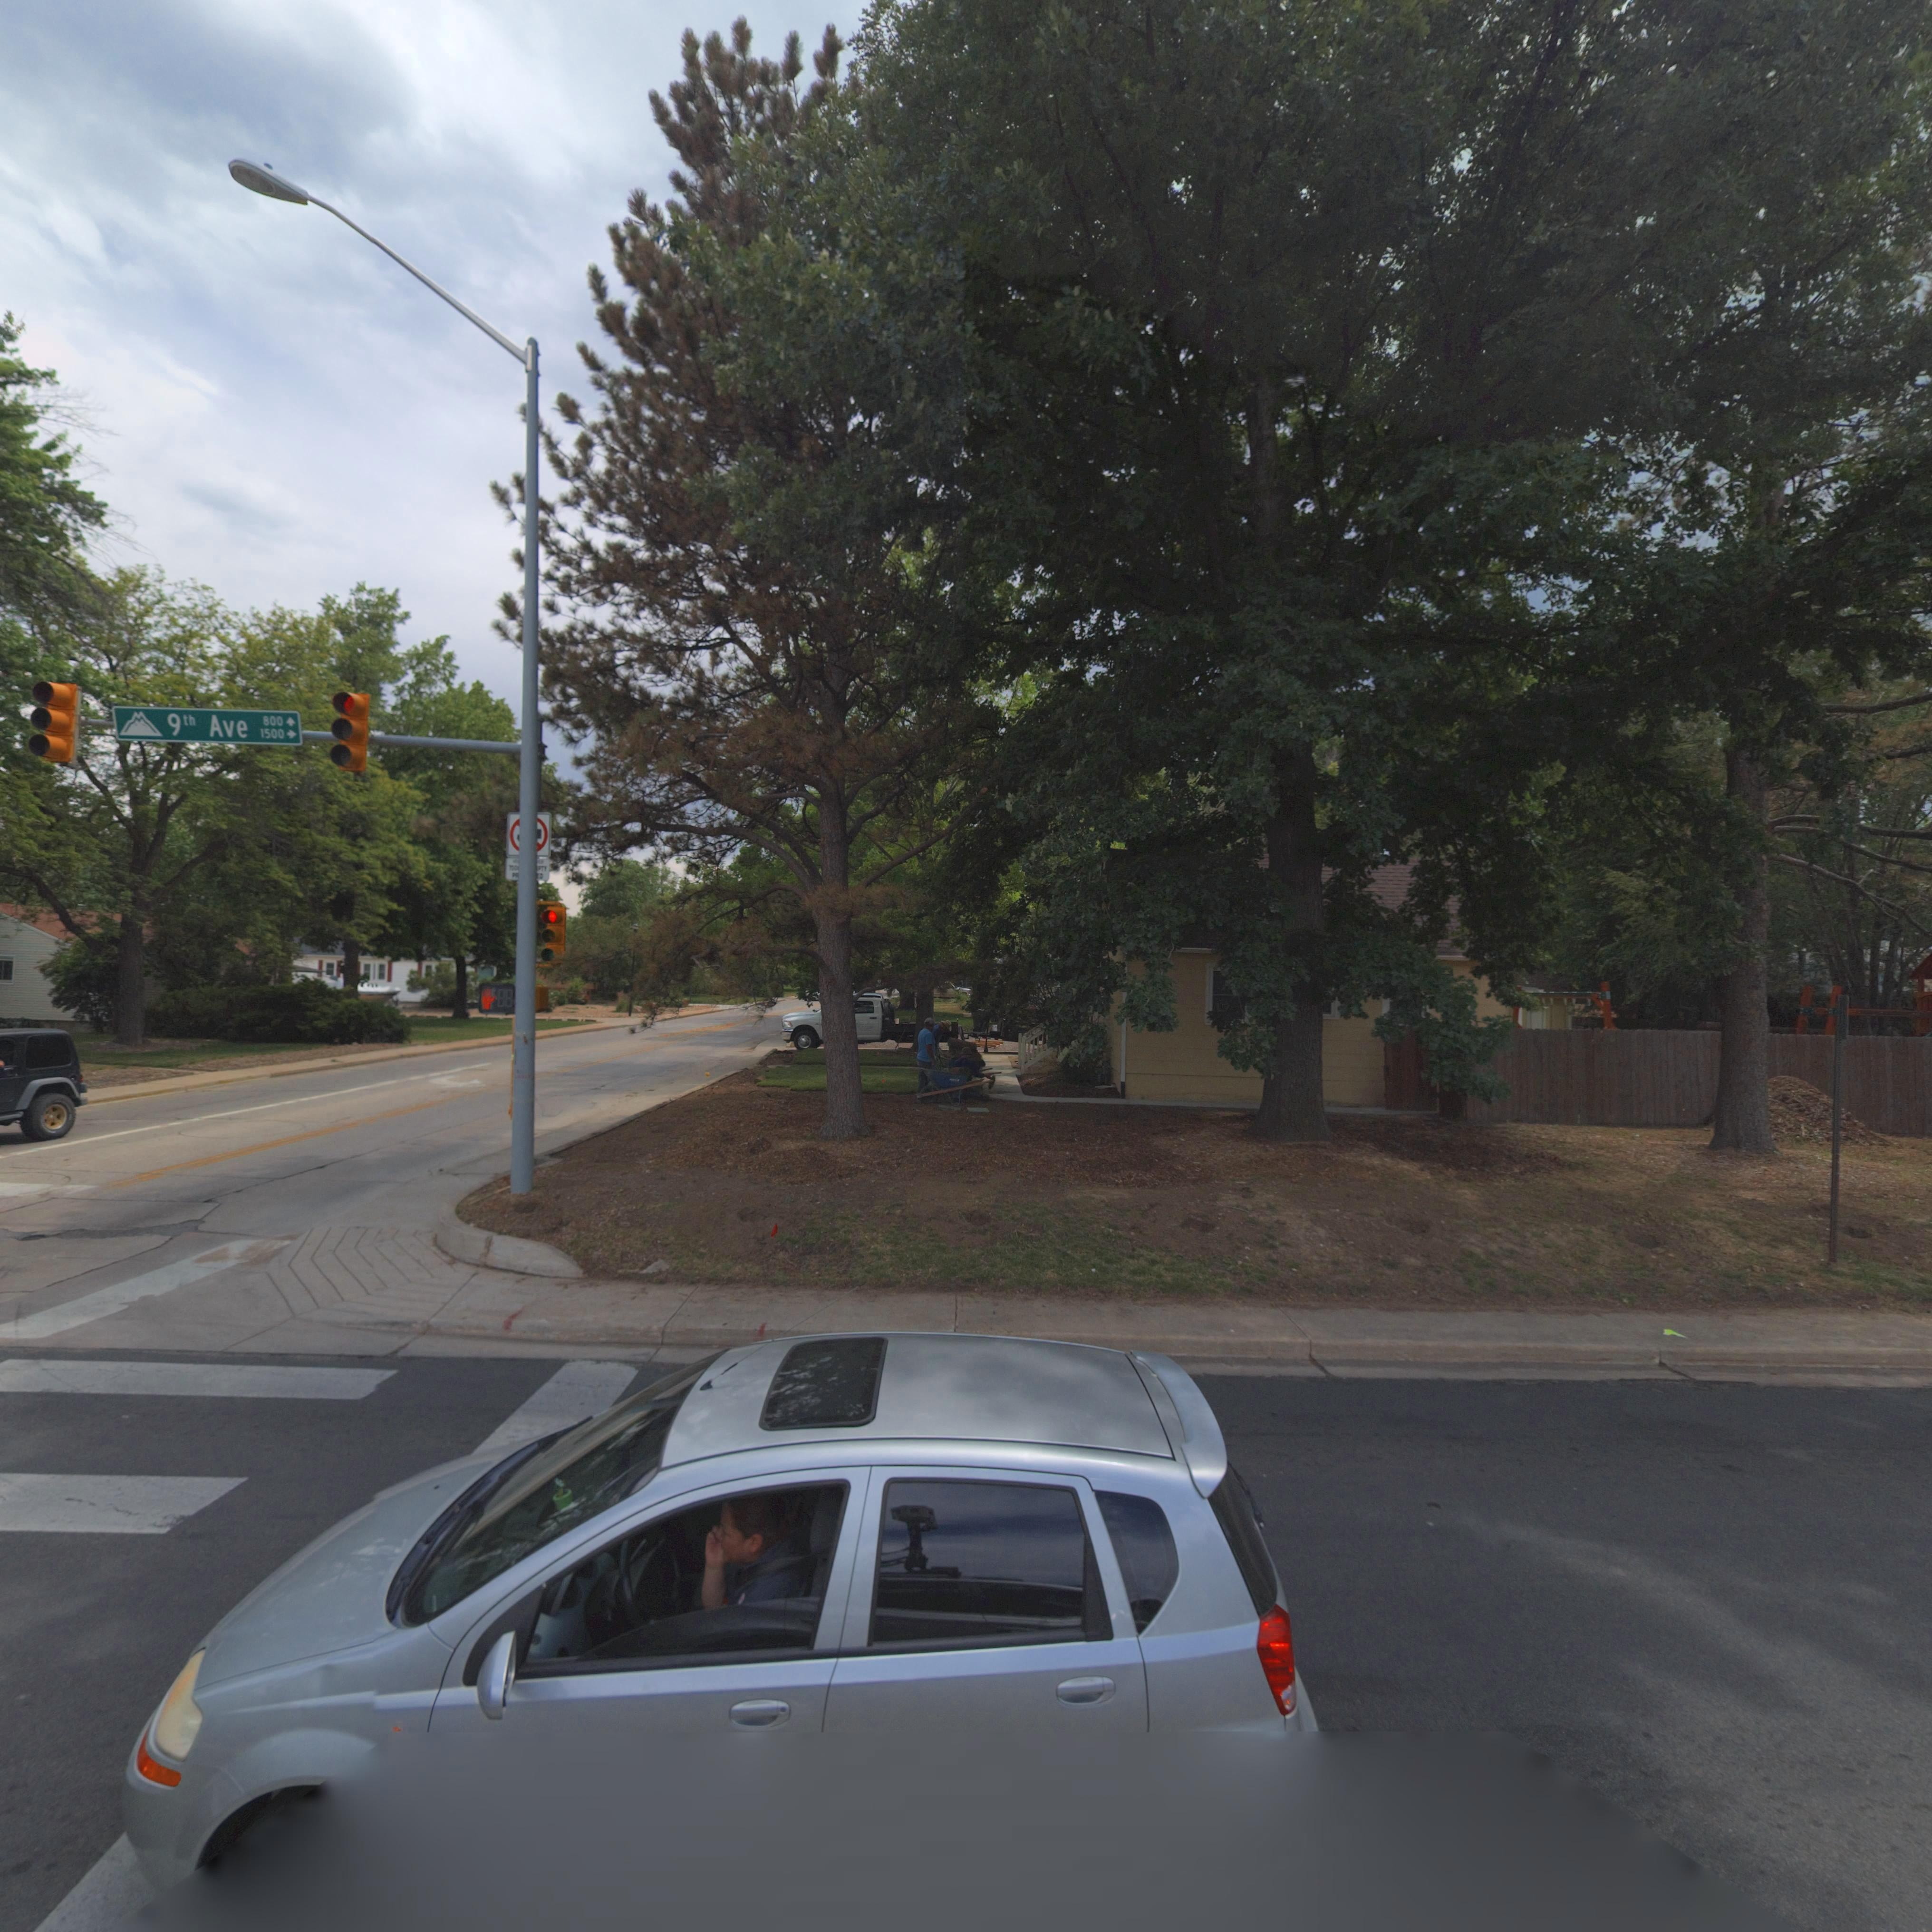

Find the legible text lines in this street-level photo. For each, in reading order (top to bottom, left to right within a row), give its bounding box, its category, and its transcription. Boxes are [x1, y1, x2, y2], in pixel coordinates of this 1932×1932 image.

[165, 713, 248, 740] StreetName: 9th Ave
[262, 715, 283, 726] StreetNumberRange: 800
[260, 728, 296, 739] StreetNumberRange: 1500 ->